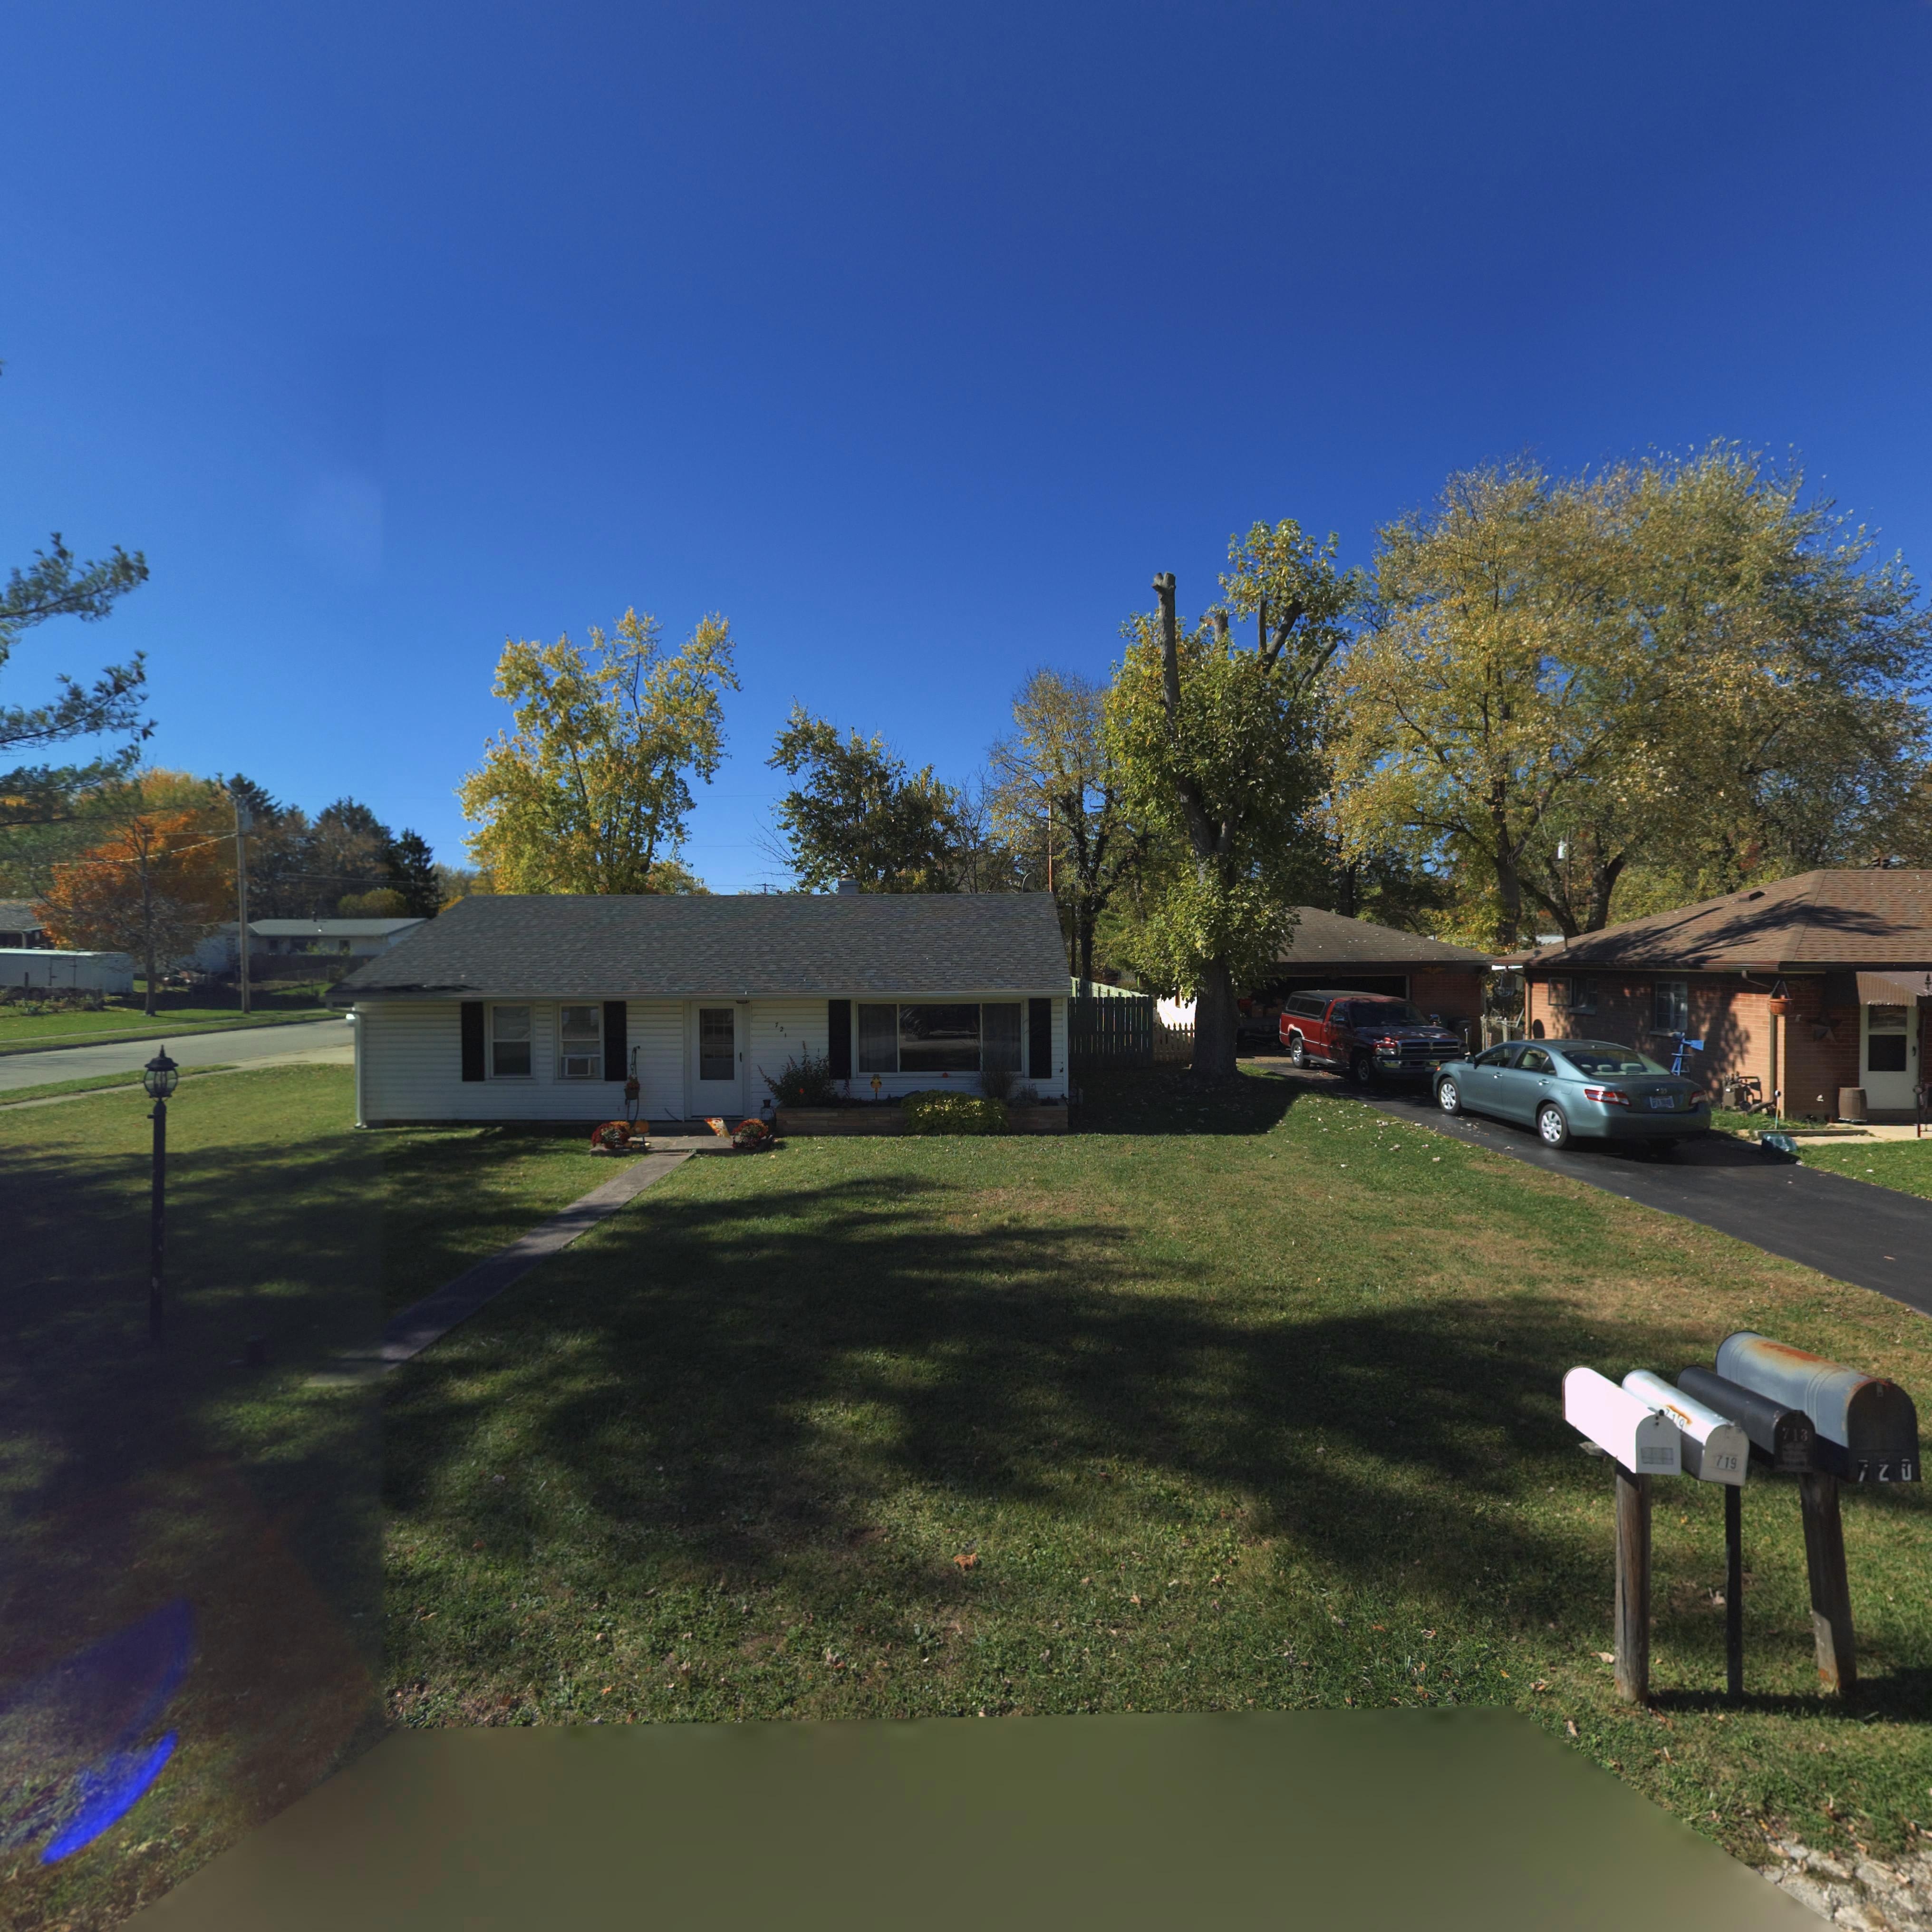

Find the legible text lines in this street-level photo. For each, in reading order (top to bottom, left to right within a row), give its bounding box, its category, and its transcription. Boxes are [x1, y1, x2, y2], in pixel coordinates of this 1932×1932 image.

[774, 1021, 787, 1039] StreetNumber: 721
[1677, 1416, 1686, 1434] StreetNumber: 9
[1782, 1427, 1808, 1442] StreetNumber: 713
[1715, 1454, 1738, 1470] StreetNumber: 719
[1856, 1459, 1913, 1483] StreetNumber: 720